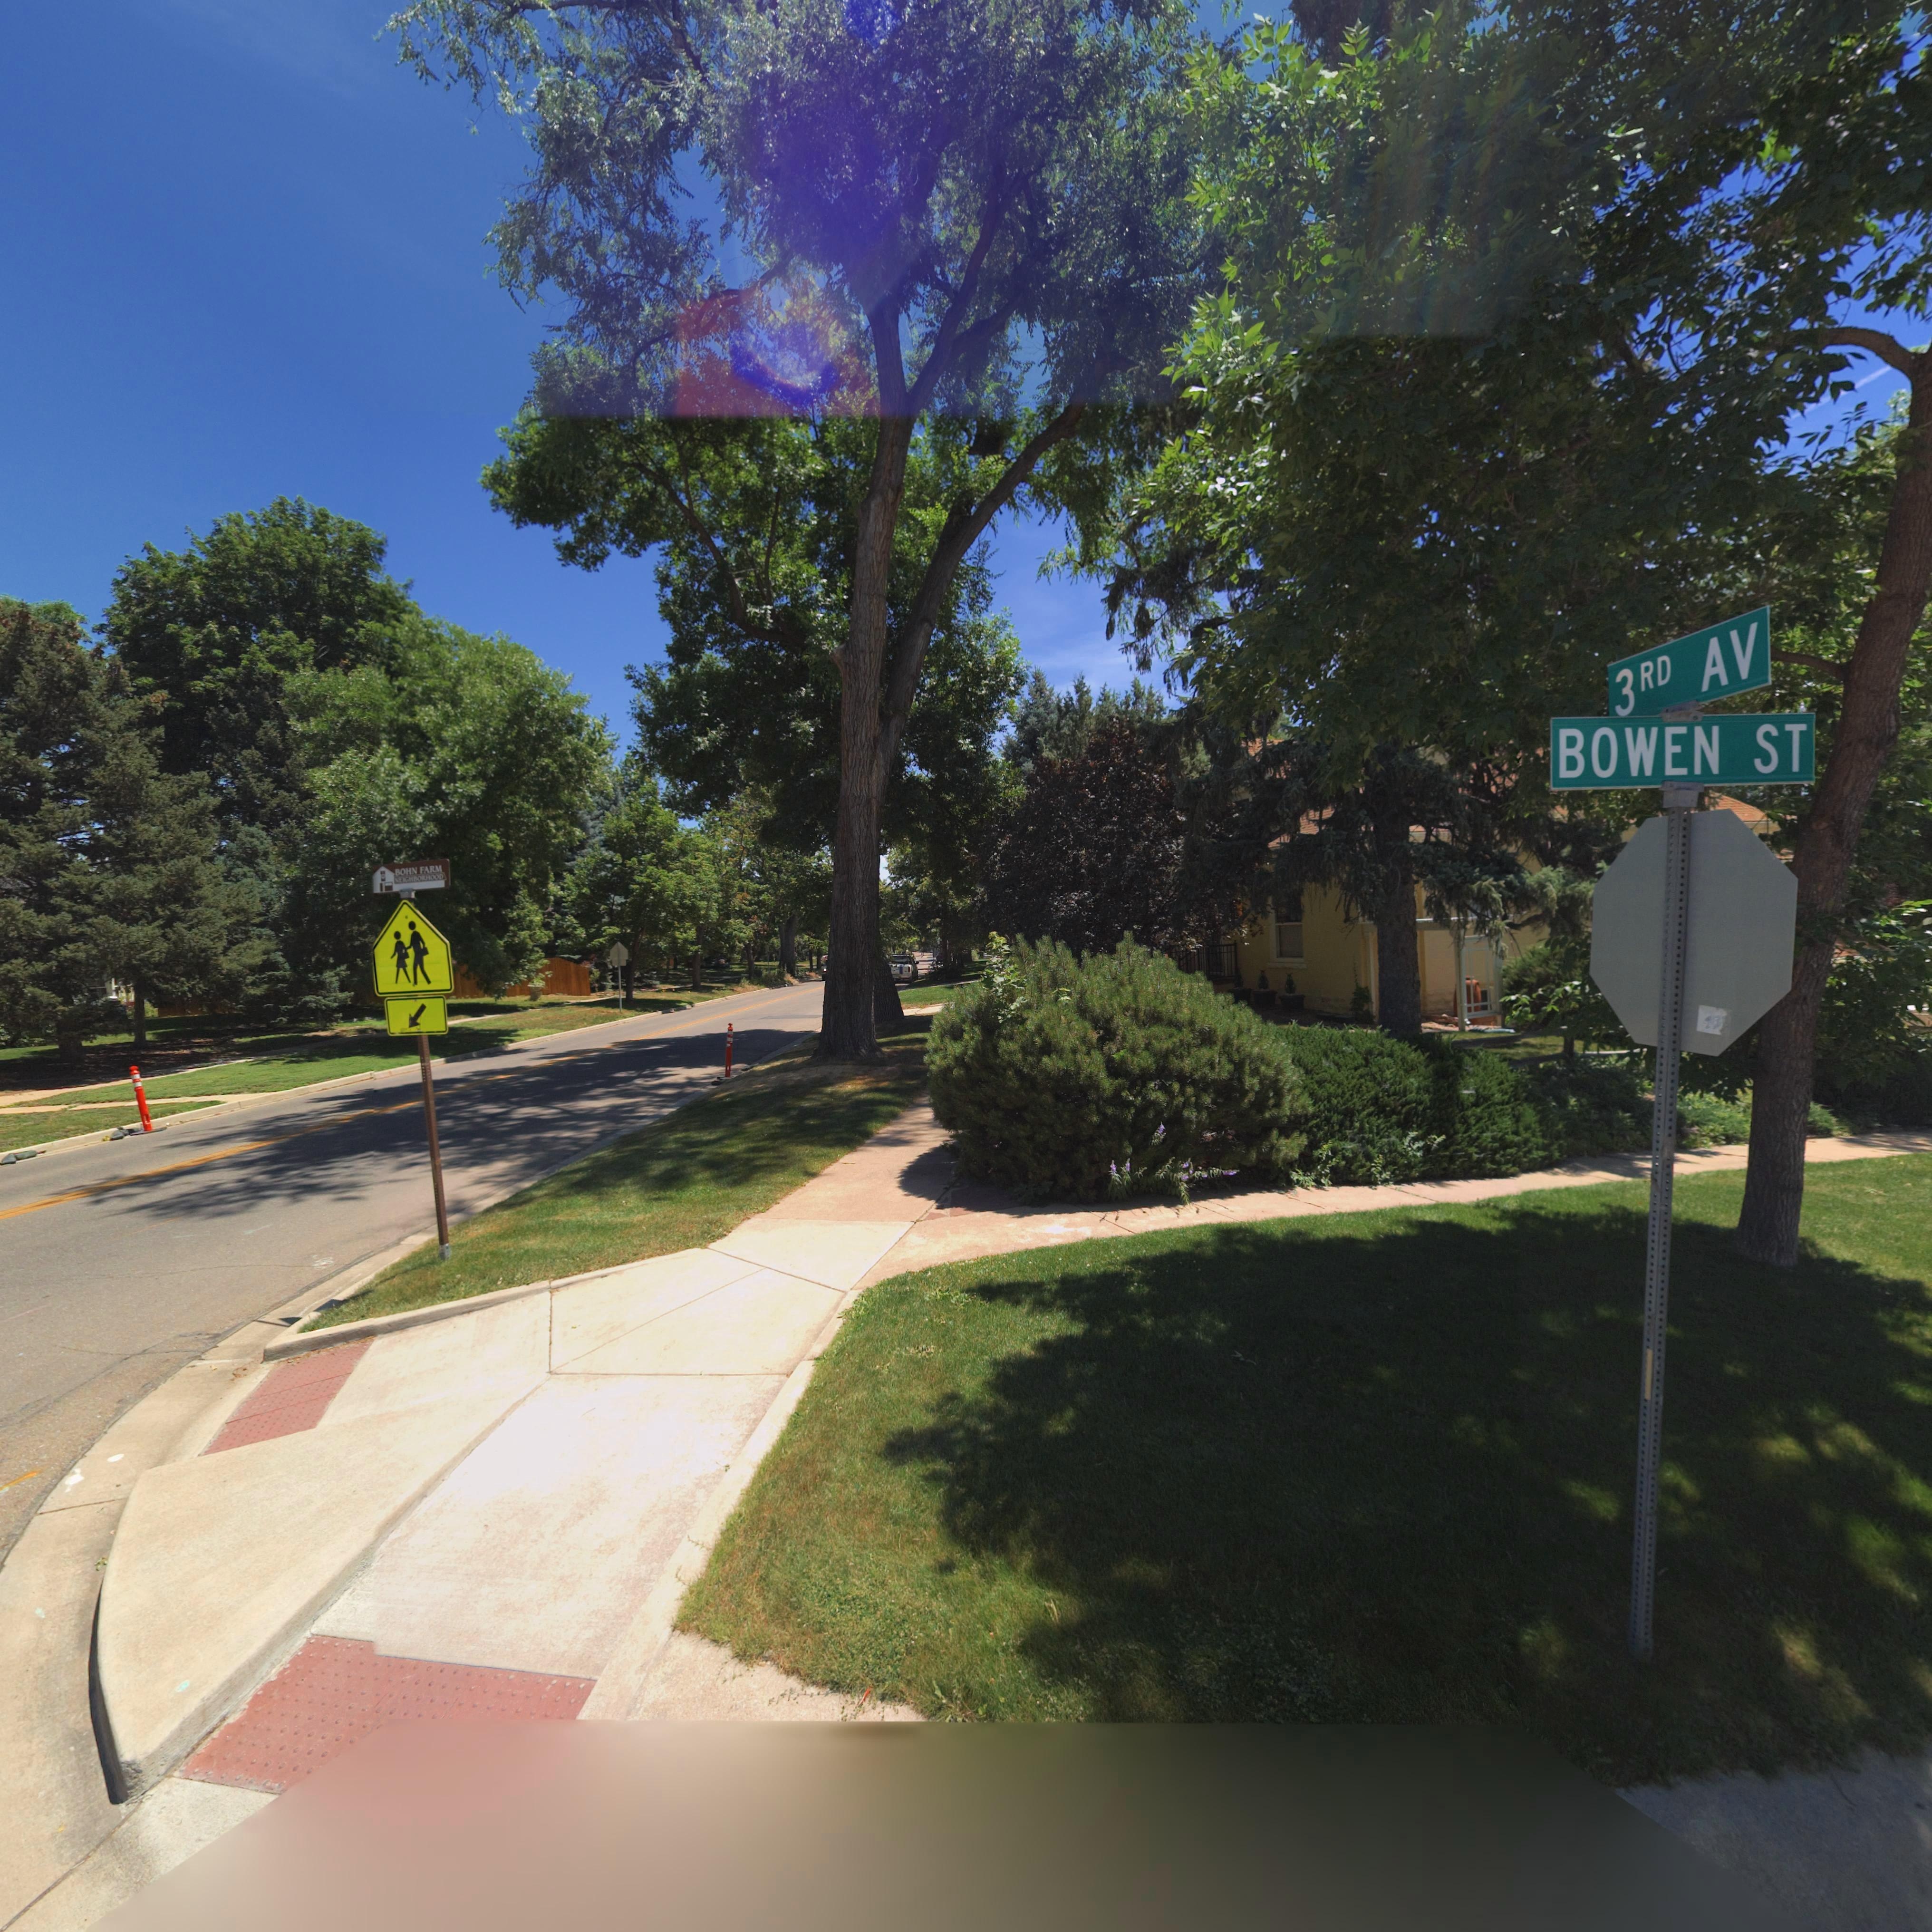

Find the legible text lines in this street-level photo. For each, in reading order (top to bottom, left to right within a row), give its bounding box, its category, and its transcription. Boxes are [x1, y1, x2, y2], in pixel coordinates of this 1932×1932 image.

[1614, 620, 1758, 717] StreetName: 3RD AV
[1558, 723, 1807, 779] None: BOWEN ST